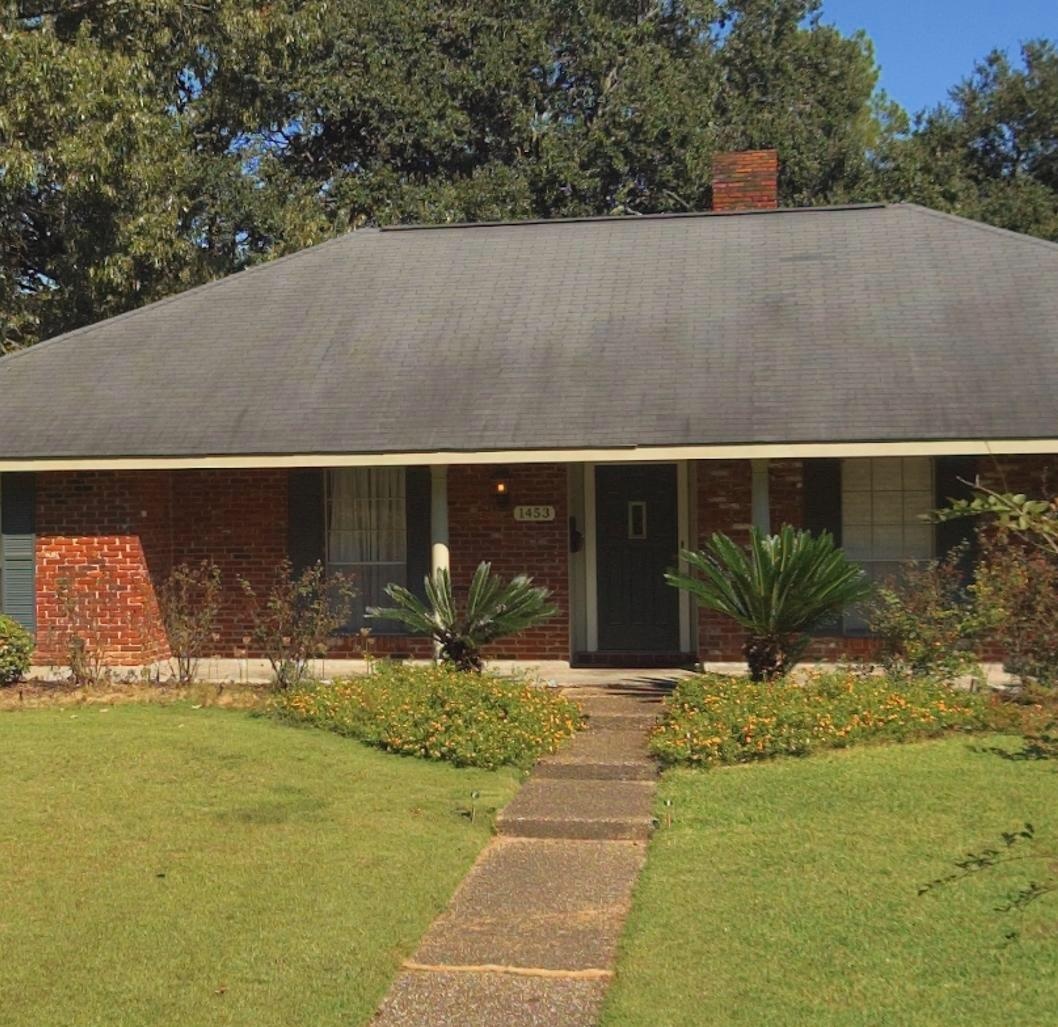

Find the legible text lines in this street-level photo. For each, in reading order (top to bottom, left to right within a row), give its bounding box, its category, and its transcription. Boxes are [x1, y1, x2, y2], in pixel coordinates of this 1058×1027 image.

[517, 507, 551, 519] StreetNumber: 1453